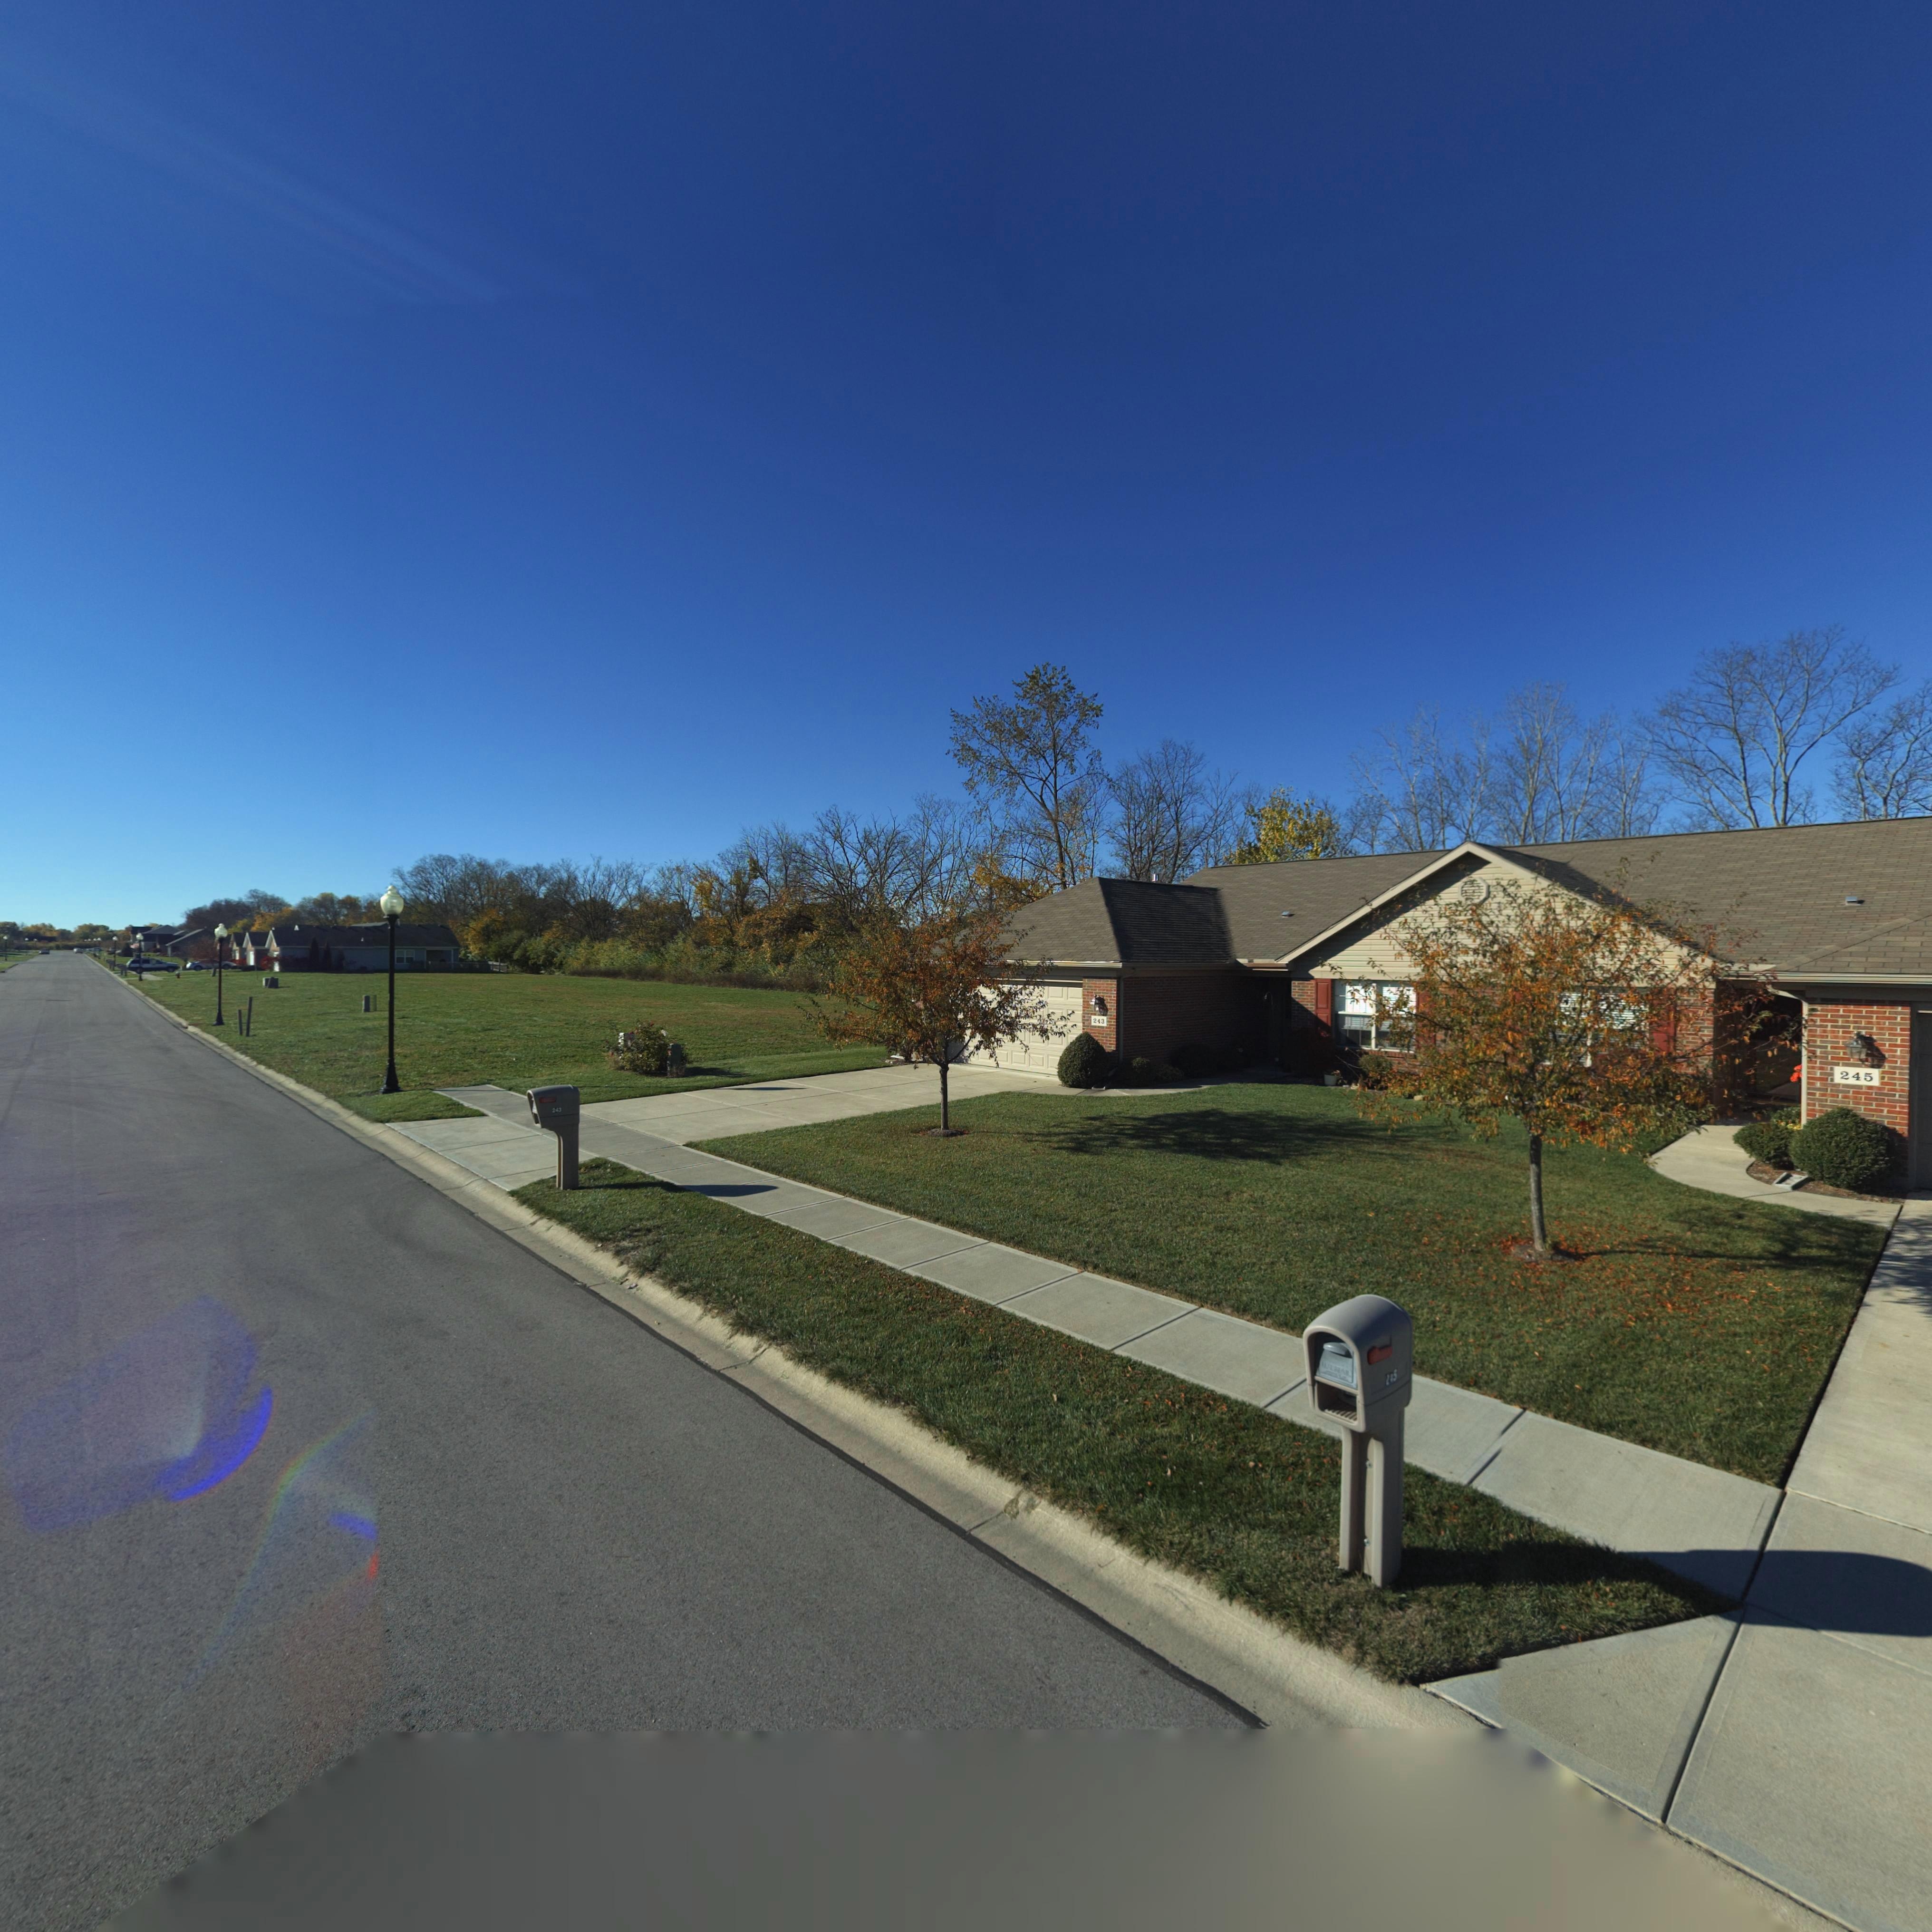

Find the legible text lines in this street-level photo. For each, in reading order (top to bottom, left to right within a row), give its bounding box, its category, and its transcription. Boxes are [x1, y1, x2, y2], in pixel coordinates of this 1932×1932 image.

[1092, 1017, 1105, 1025] StreetNumber: 243
[1839, 1069, 1874, 1083] StreetNumber: 245
[1385, 1368, 1398, 1386] StreetNumber: 215